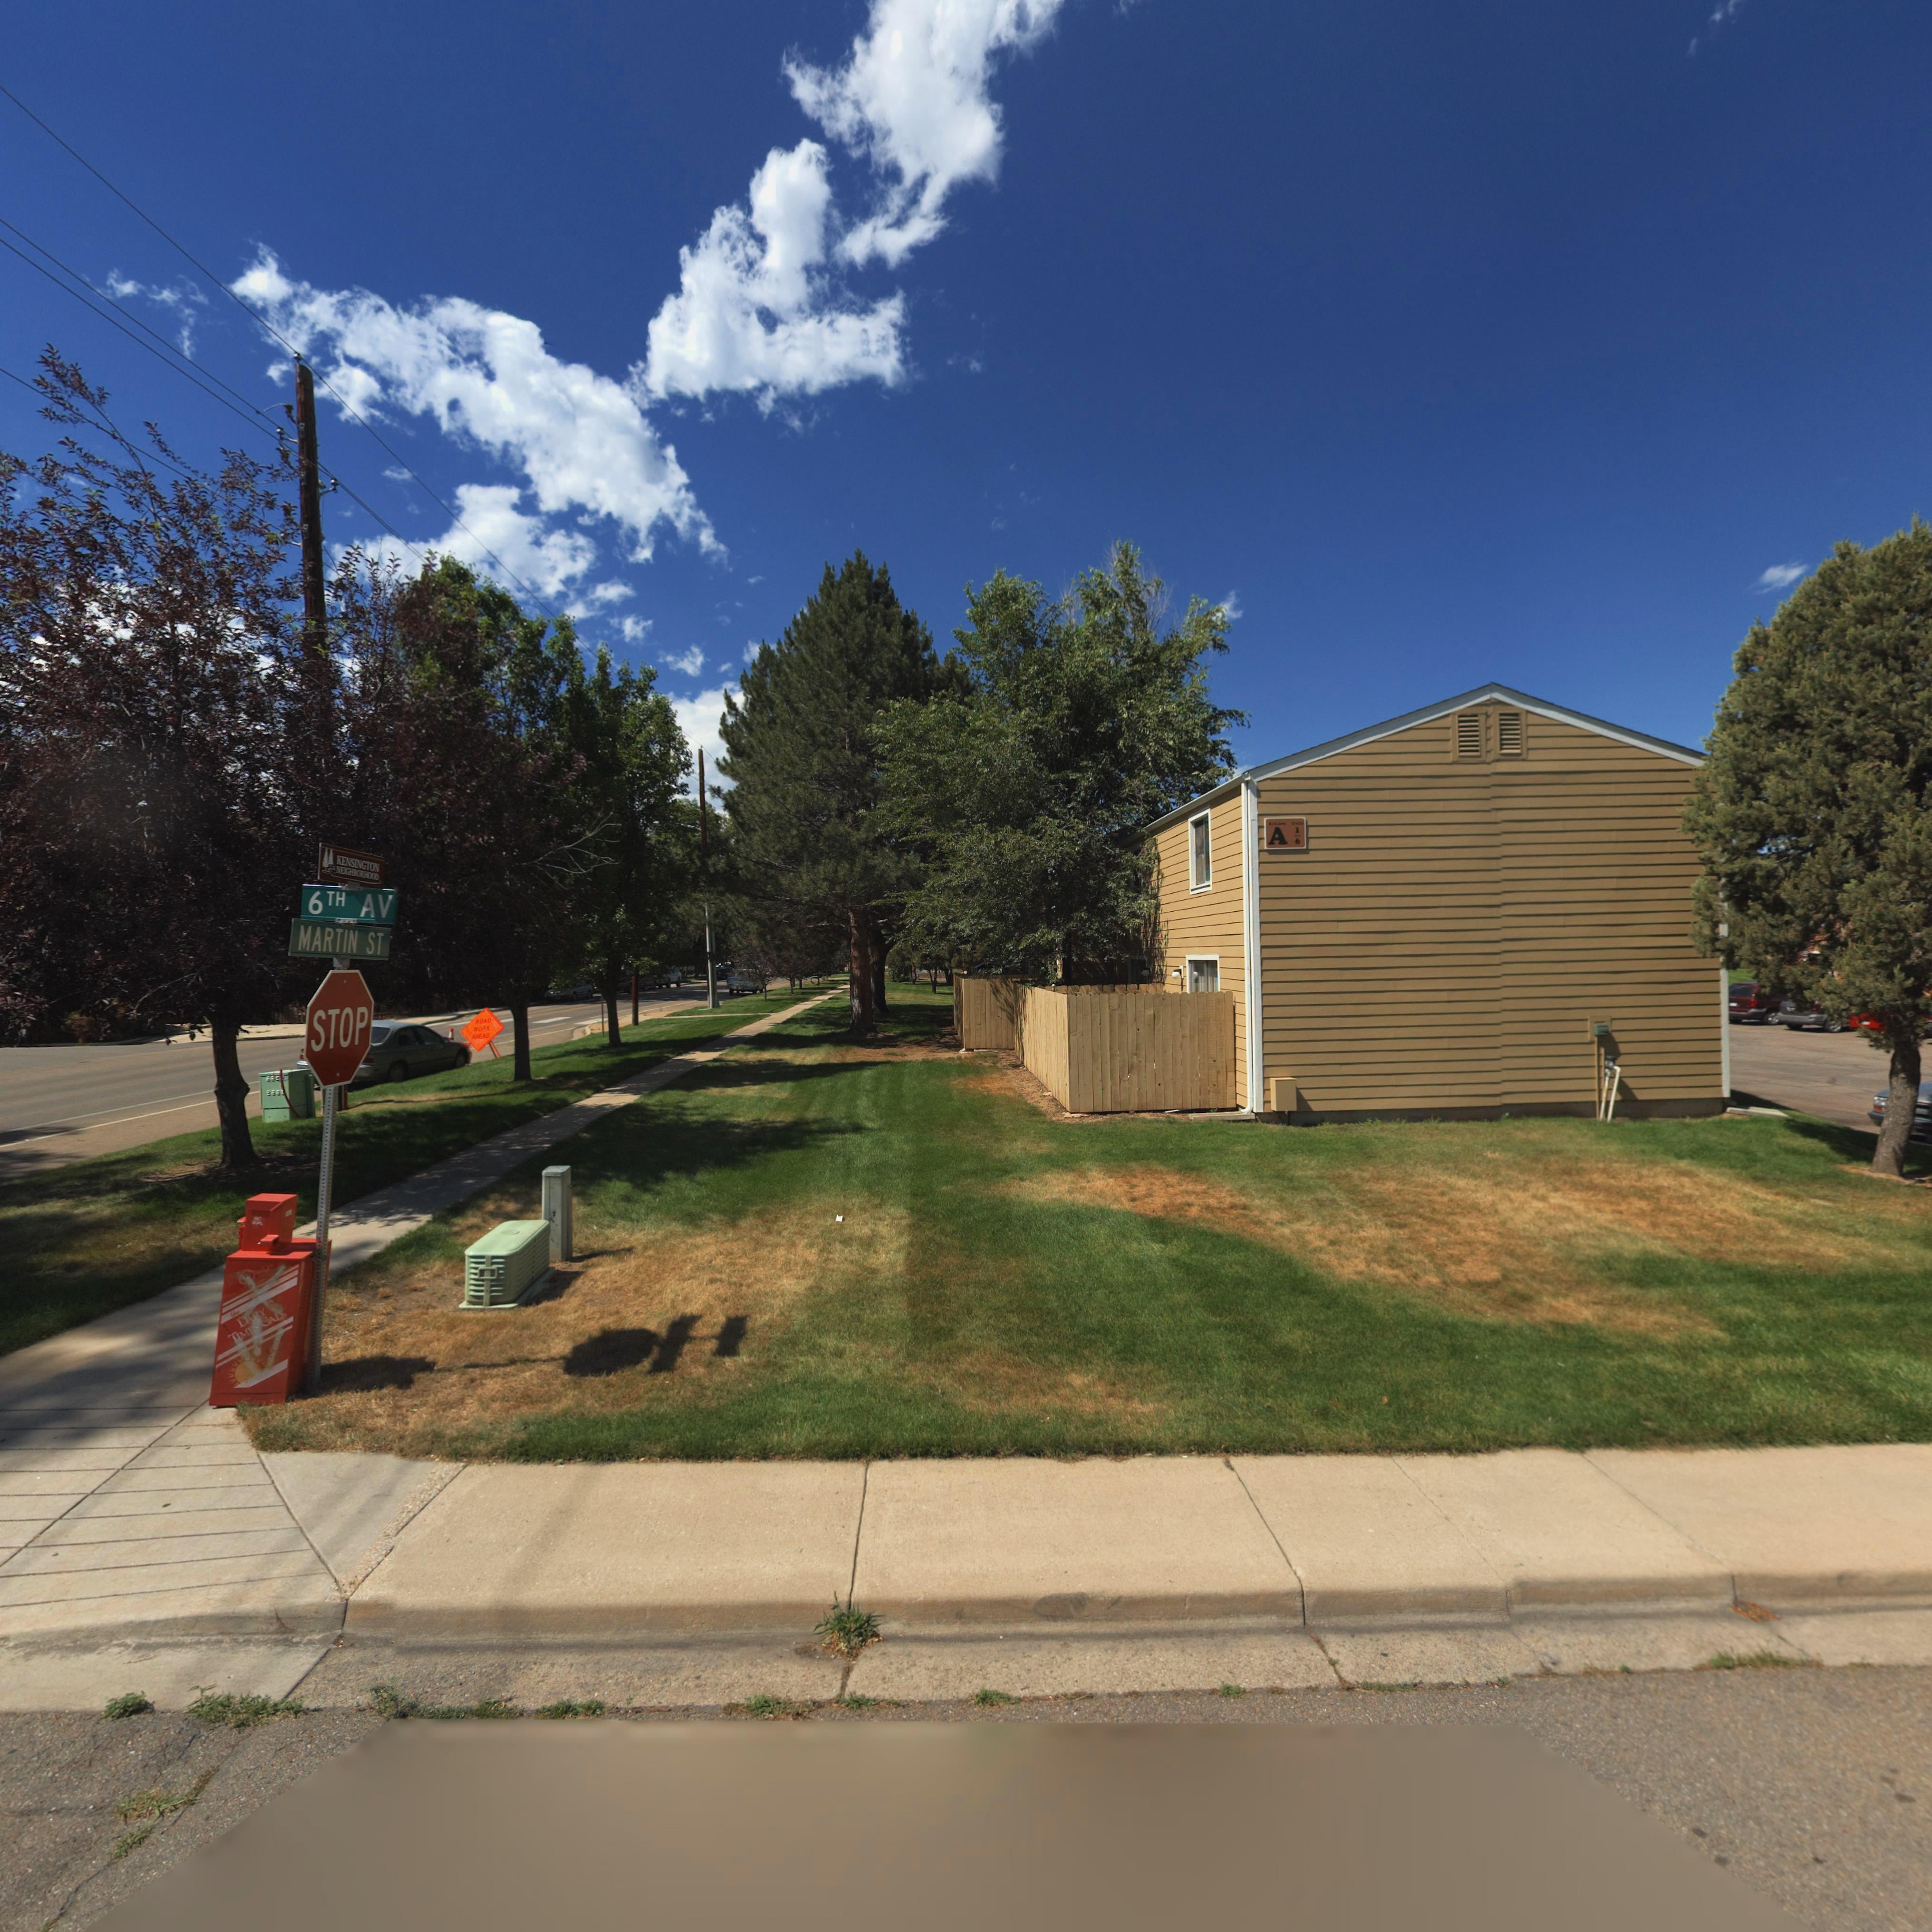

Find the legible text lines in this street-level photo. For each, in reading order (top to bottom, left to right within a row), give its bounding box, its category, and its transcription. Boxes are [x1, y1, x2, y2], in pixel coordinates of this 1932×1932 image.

[307, 889, 395, 919] StreetName: 6TH AV
[297, 924, 385, 956] StreetName: MARTIN ST